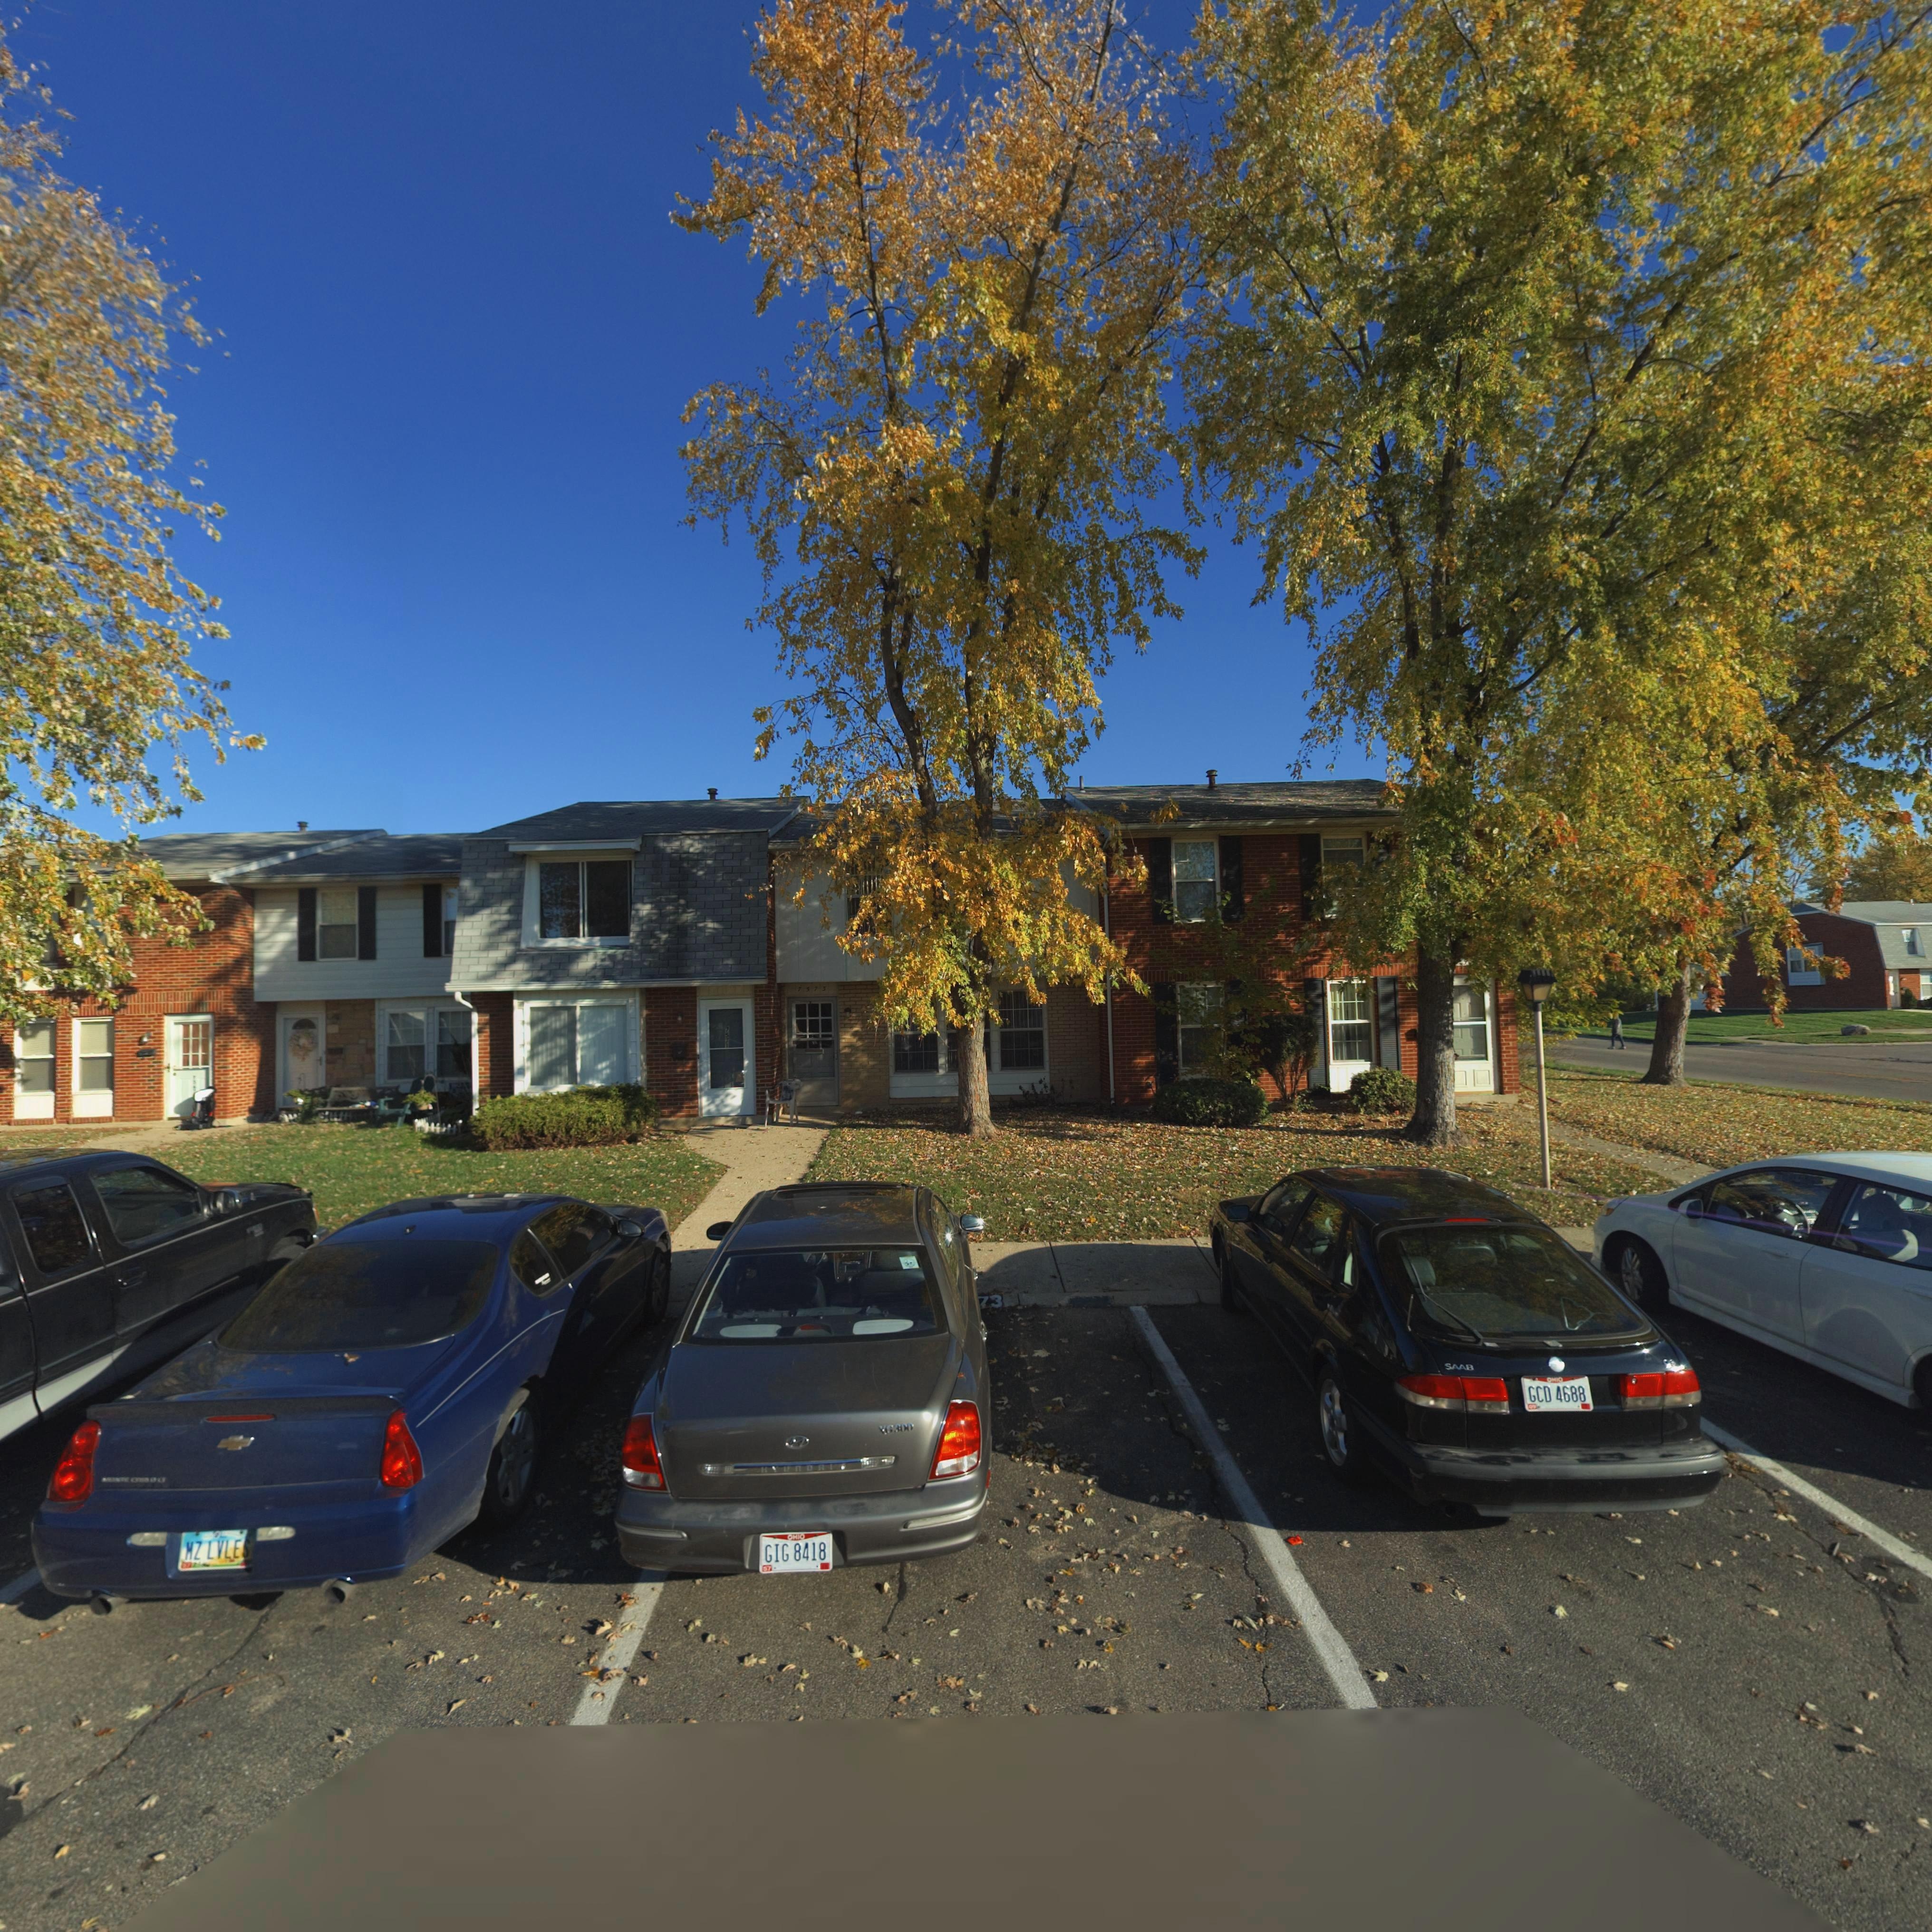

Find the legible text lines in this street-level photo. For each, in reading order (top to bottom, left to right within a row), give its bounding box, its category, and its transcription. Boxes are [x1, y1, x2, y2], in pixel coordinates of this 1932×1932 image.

[797, 986, 827, 992] StreetNumber: 7573
[724, 1026, 730, 1048] StreetNumber: 7571
[977, 1294, 1003, 1309] StreetNumber: 73